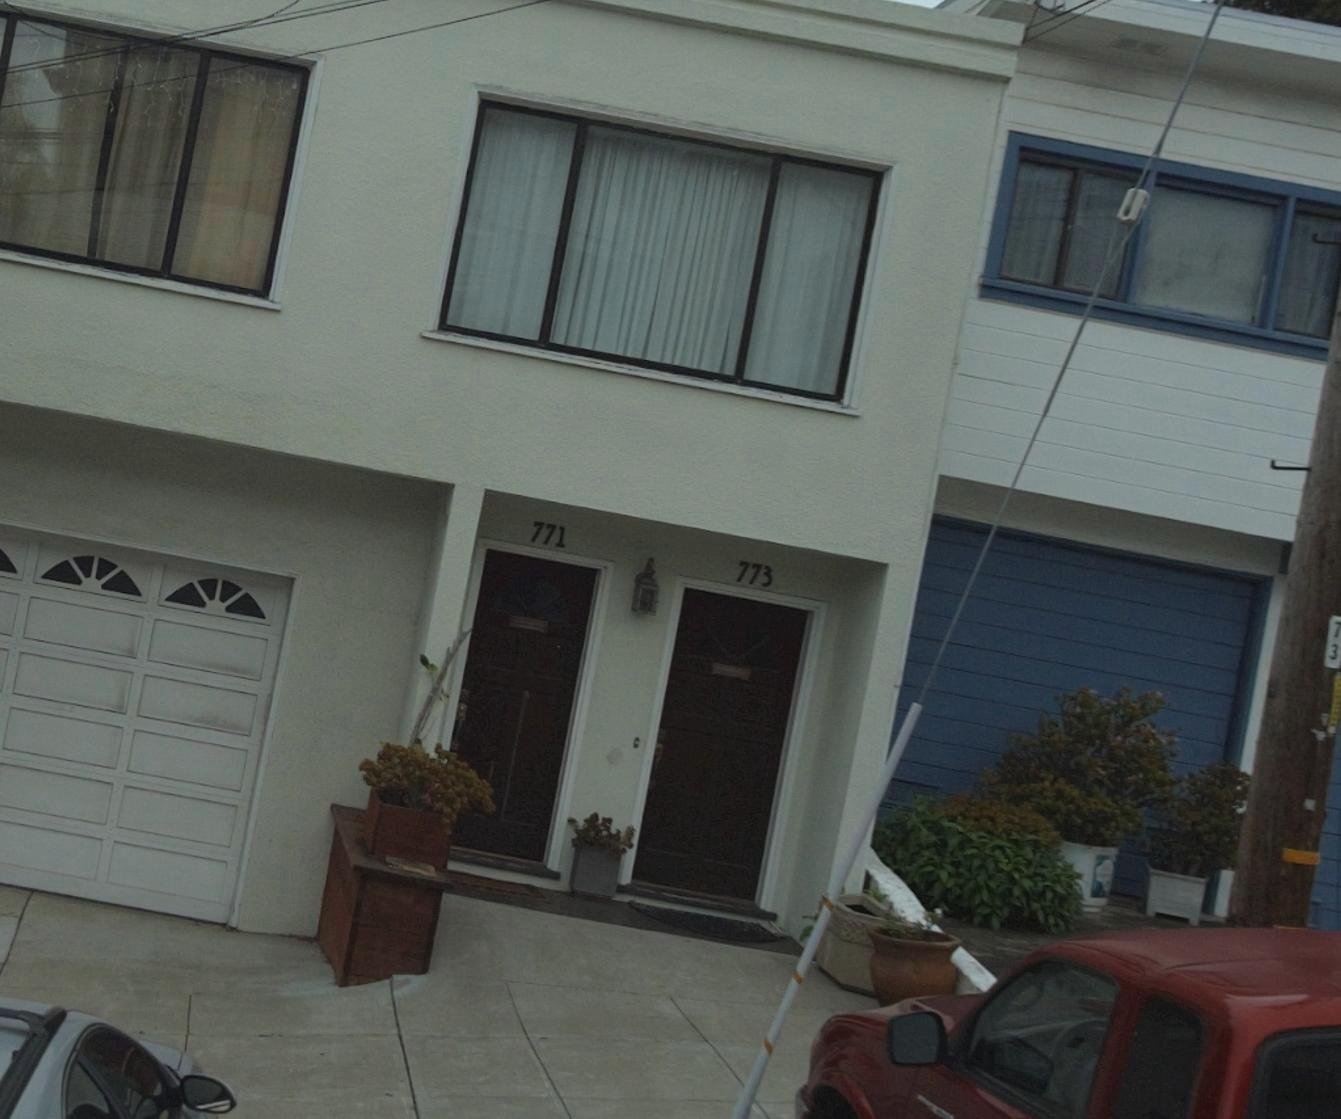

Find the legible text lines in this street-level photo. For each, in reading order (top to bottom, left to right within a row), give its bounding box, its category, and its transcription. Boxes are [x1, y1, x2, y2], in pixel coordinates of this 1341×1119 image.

[527, 519, 568, 550] StreetNumber: 771
[735, 558, 774, 589] StreetNumber: 773
[1327, 619, 1341, 662] None: 73